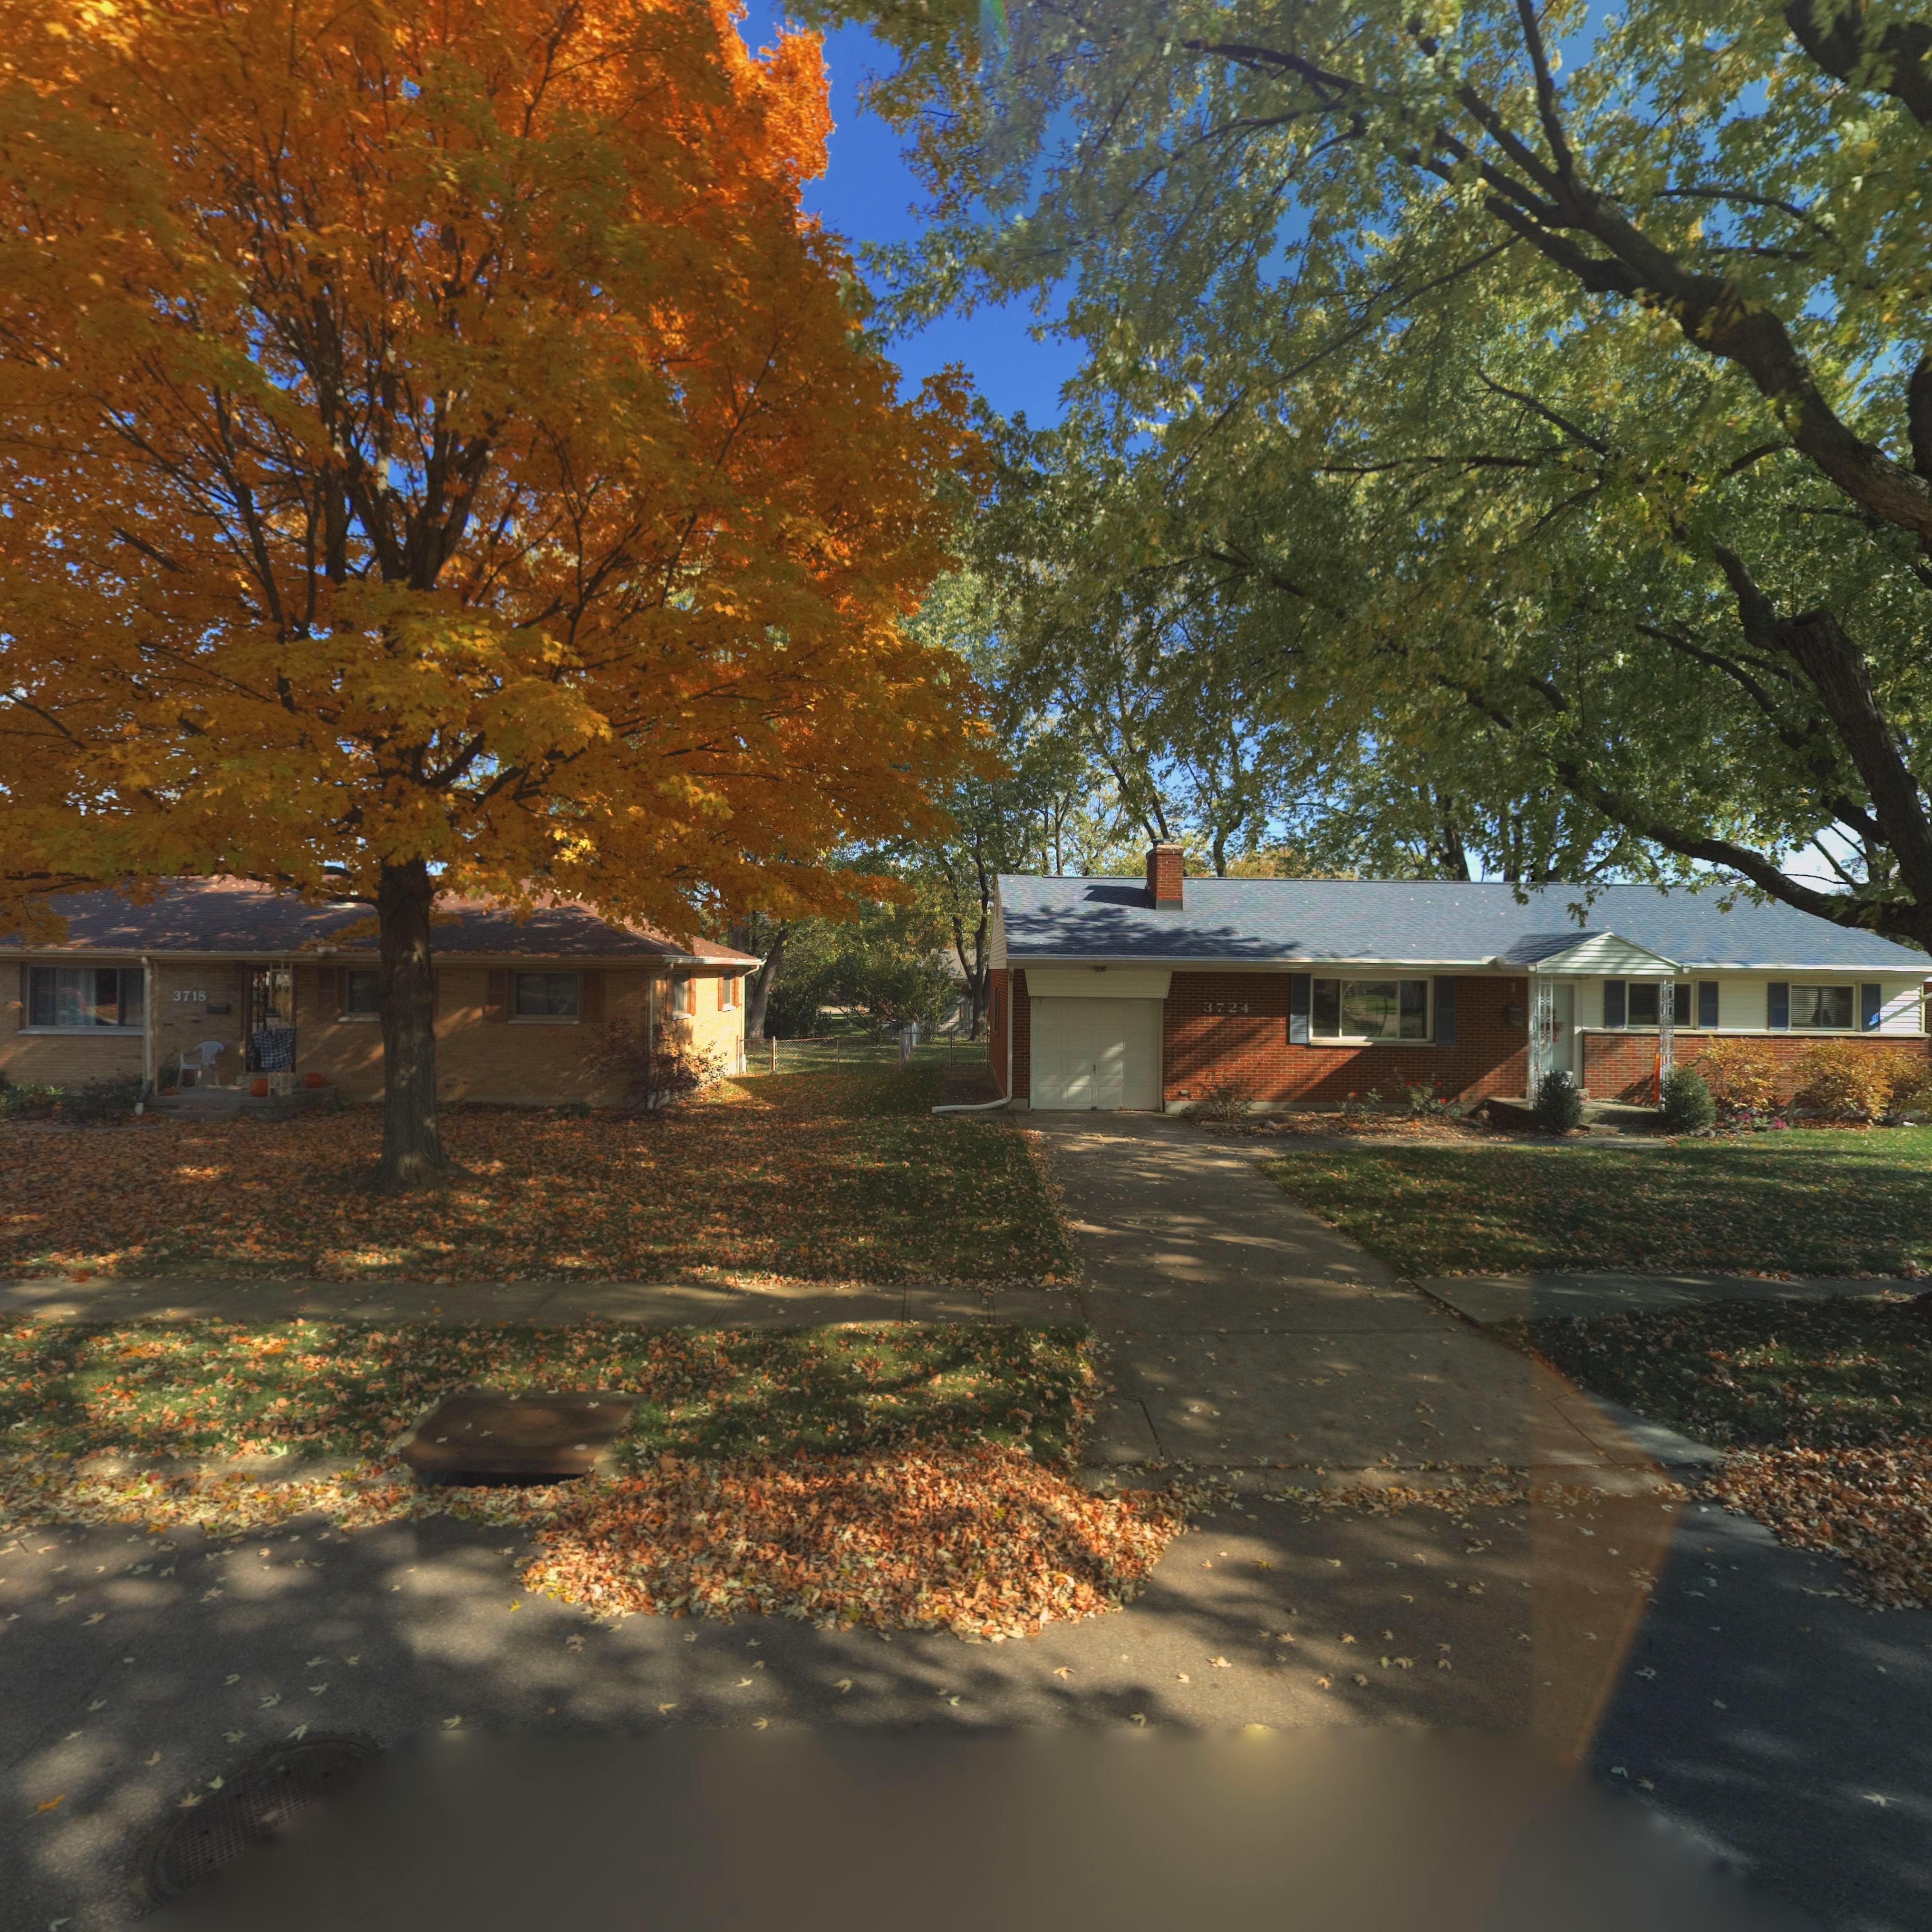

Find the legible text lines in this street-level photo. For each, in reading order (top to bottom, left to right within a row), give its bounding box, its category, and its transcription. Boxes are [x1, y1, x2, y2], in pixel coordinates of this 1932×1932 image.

[172, 989, 208, 1002] StreetNumber: 3718
[1202, 1001, 1250, 1014] StreetNumber: 3724